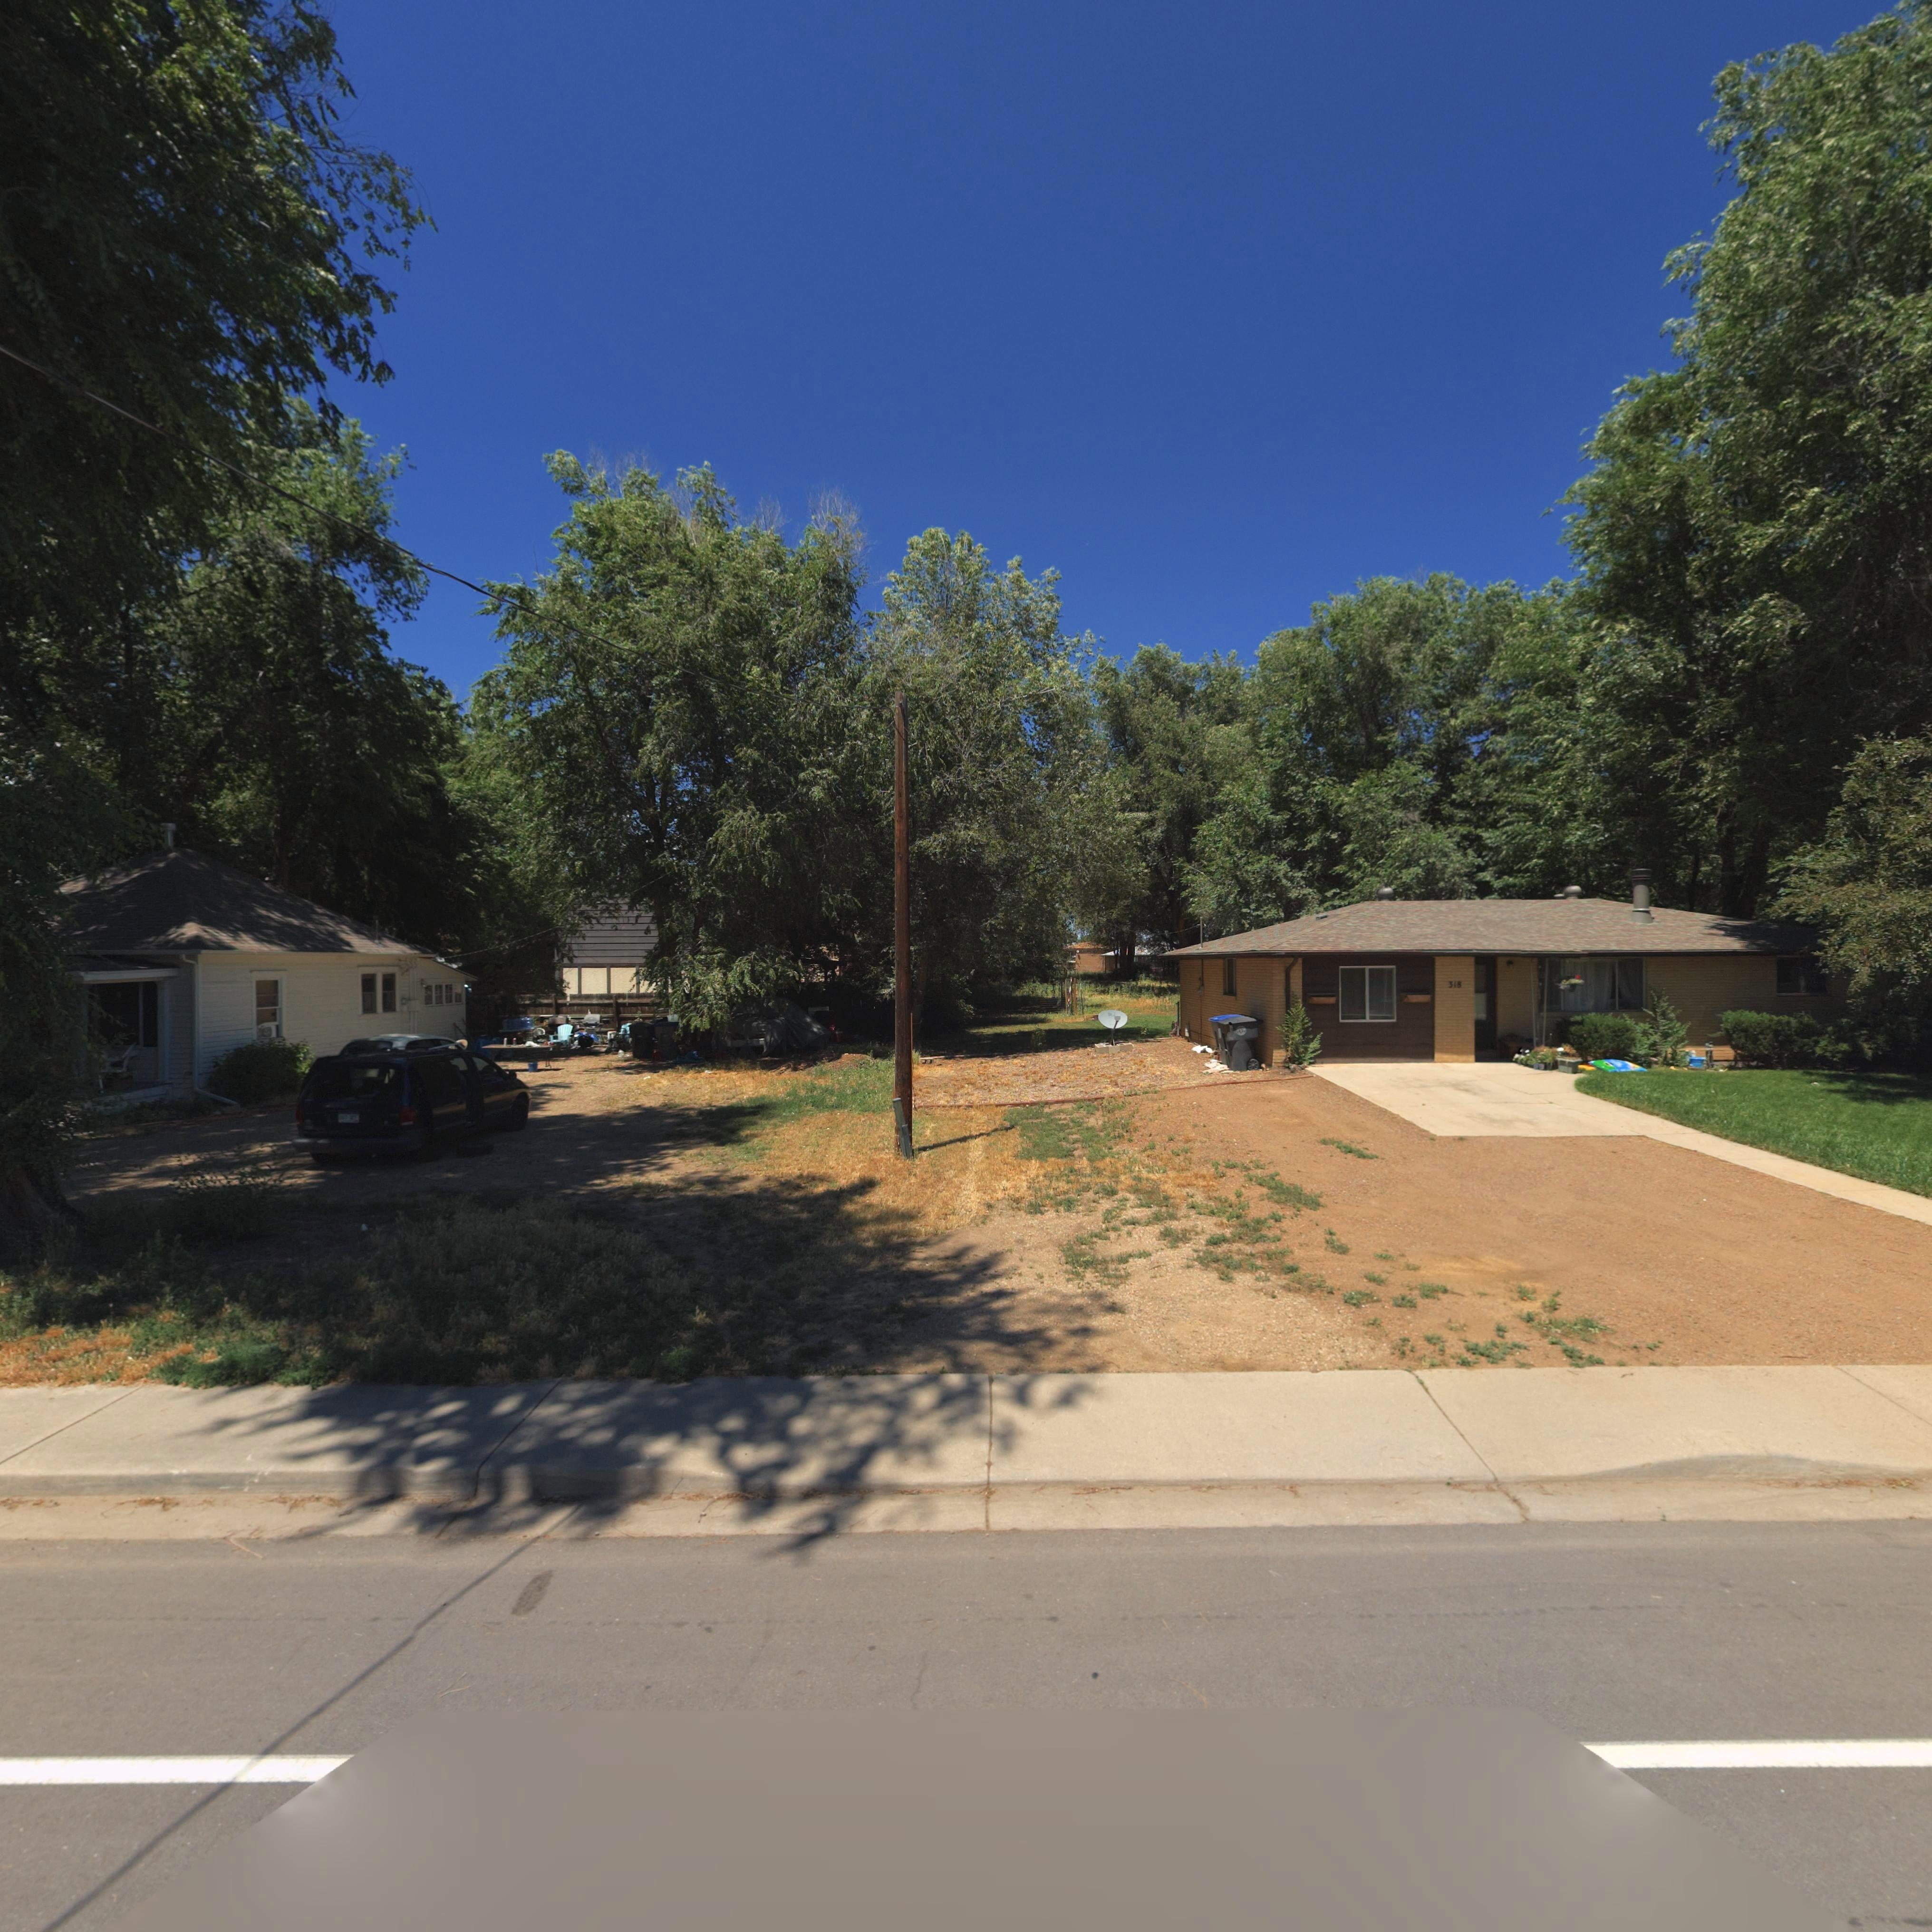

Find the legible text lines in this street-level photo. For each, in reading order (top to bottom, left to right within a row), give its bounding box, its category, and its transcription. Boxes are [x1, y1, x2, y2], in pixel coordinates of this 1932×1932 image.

[1449, 981, 1461, 988] StreetNumber: 318